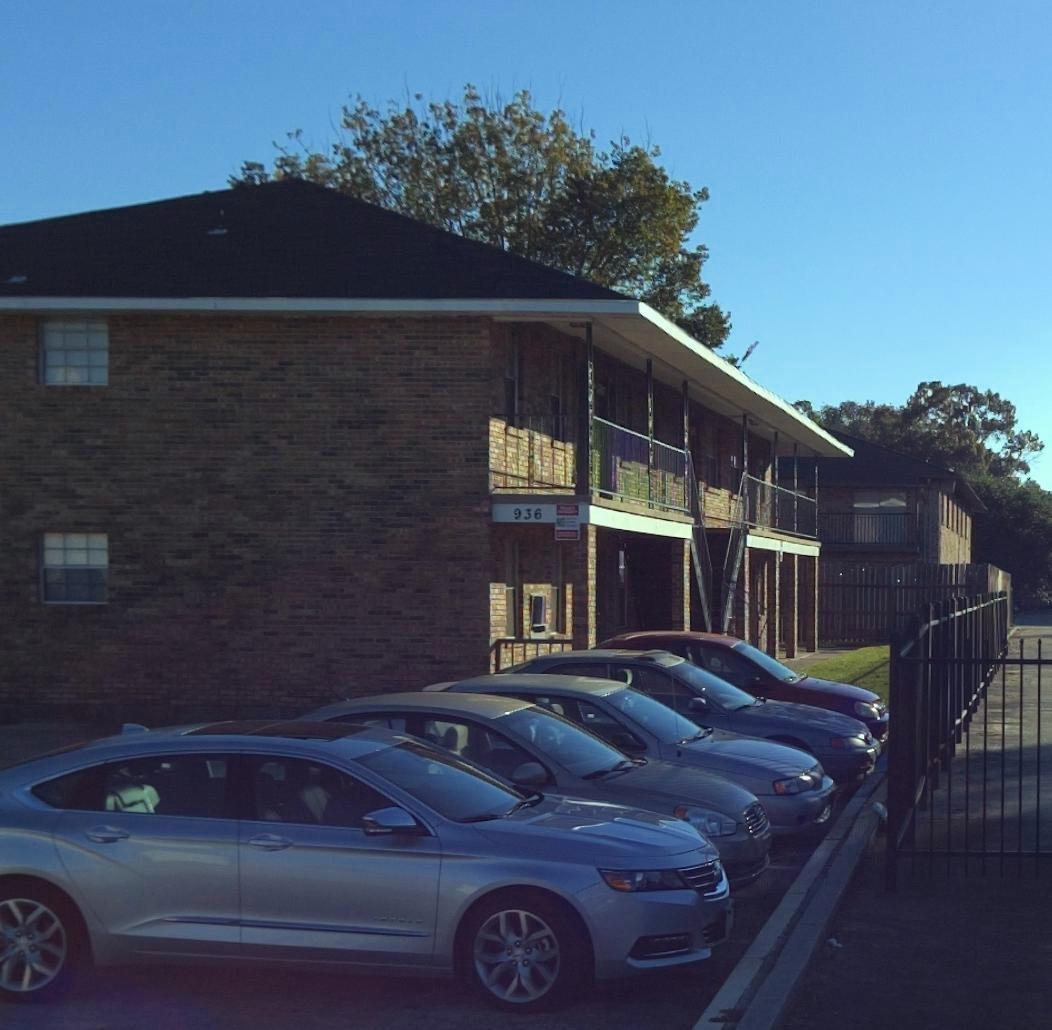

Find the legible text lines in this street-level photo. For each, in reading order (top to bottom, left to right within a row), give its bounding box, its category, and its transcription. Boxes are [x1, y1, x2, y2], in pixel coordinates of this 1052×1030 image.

[511, 506, 544, 522] StreetNumber: 936